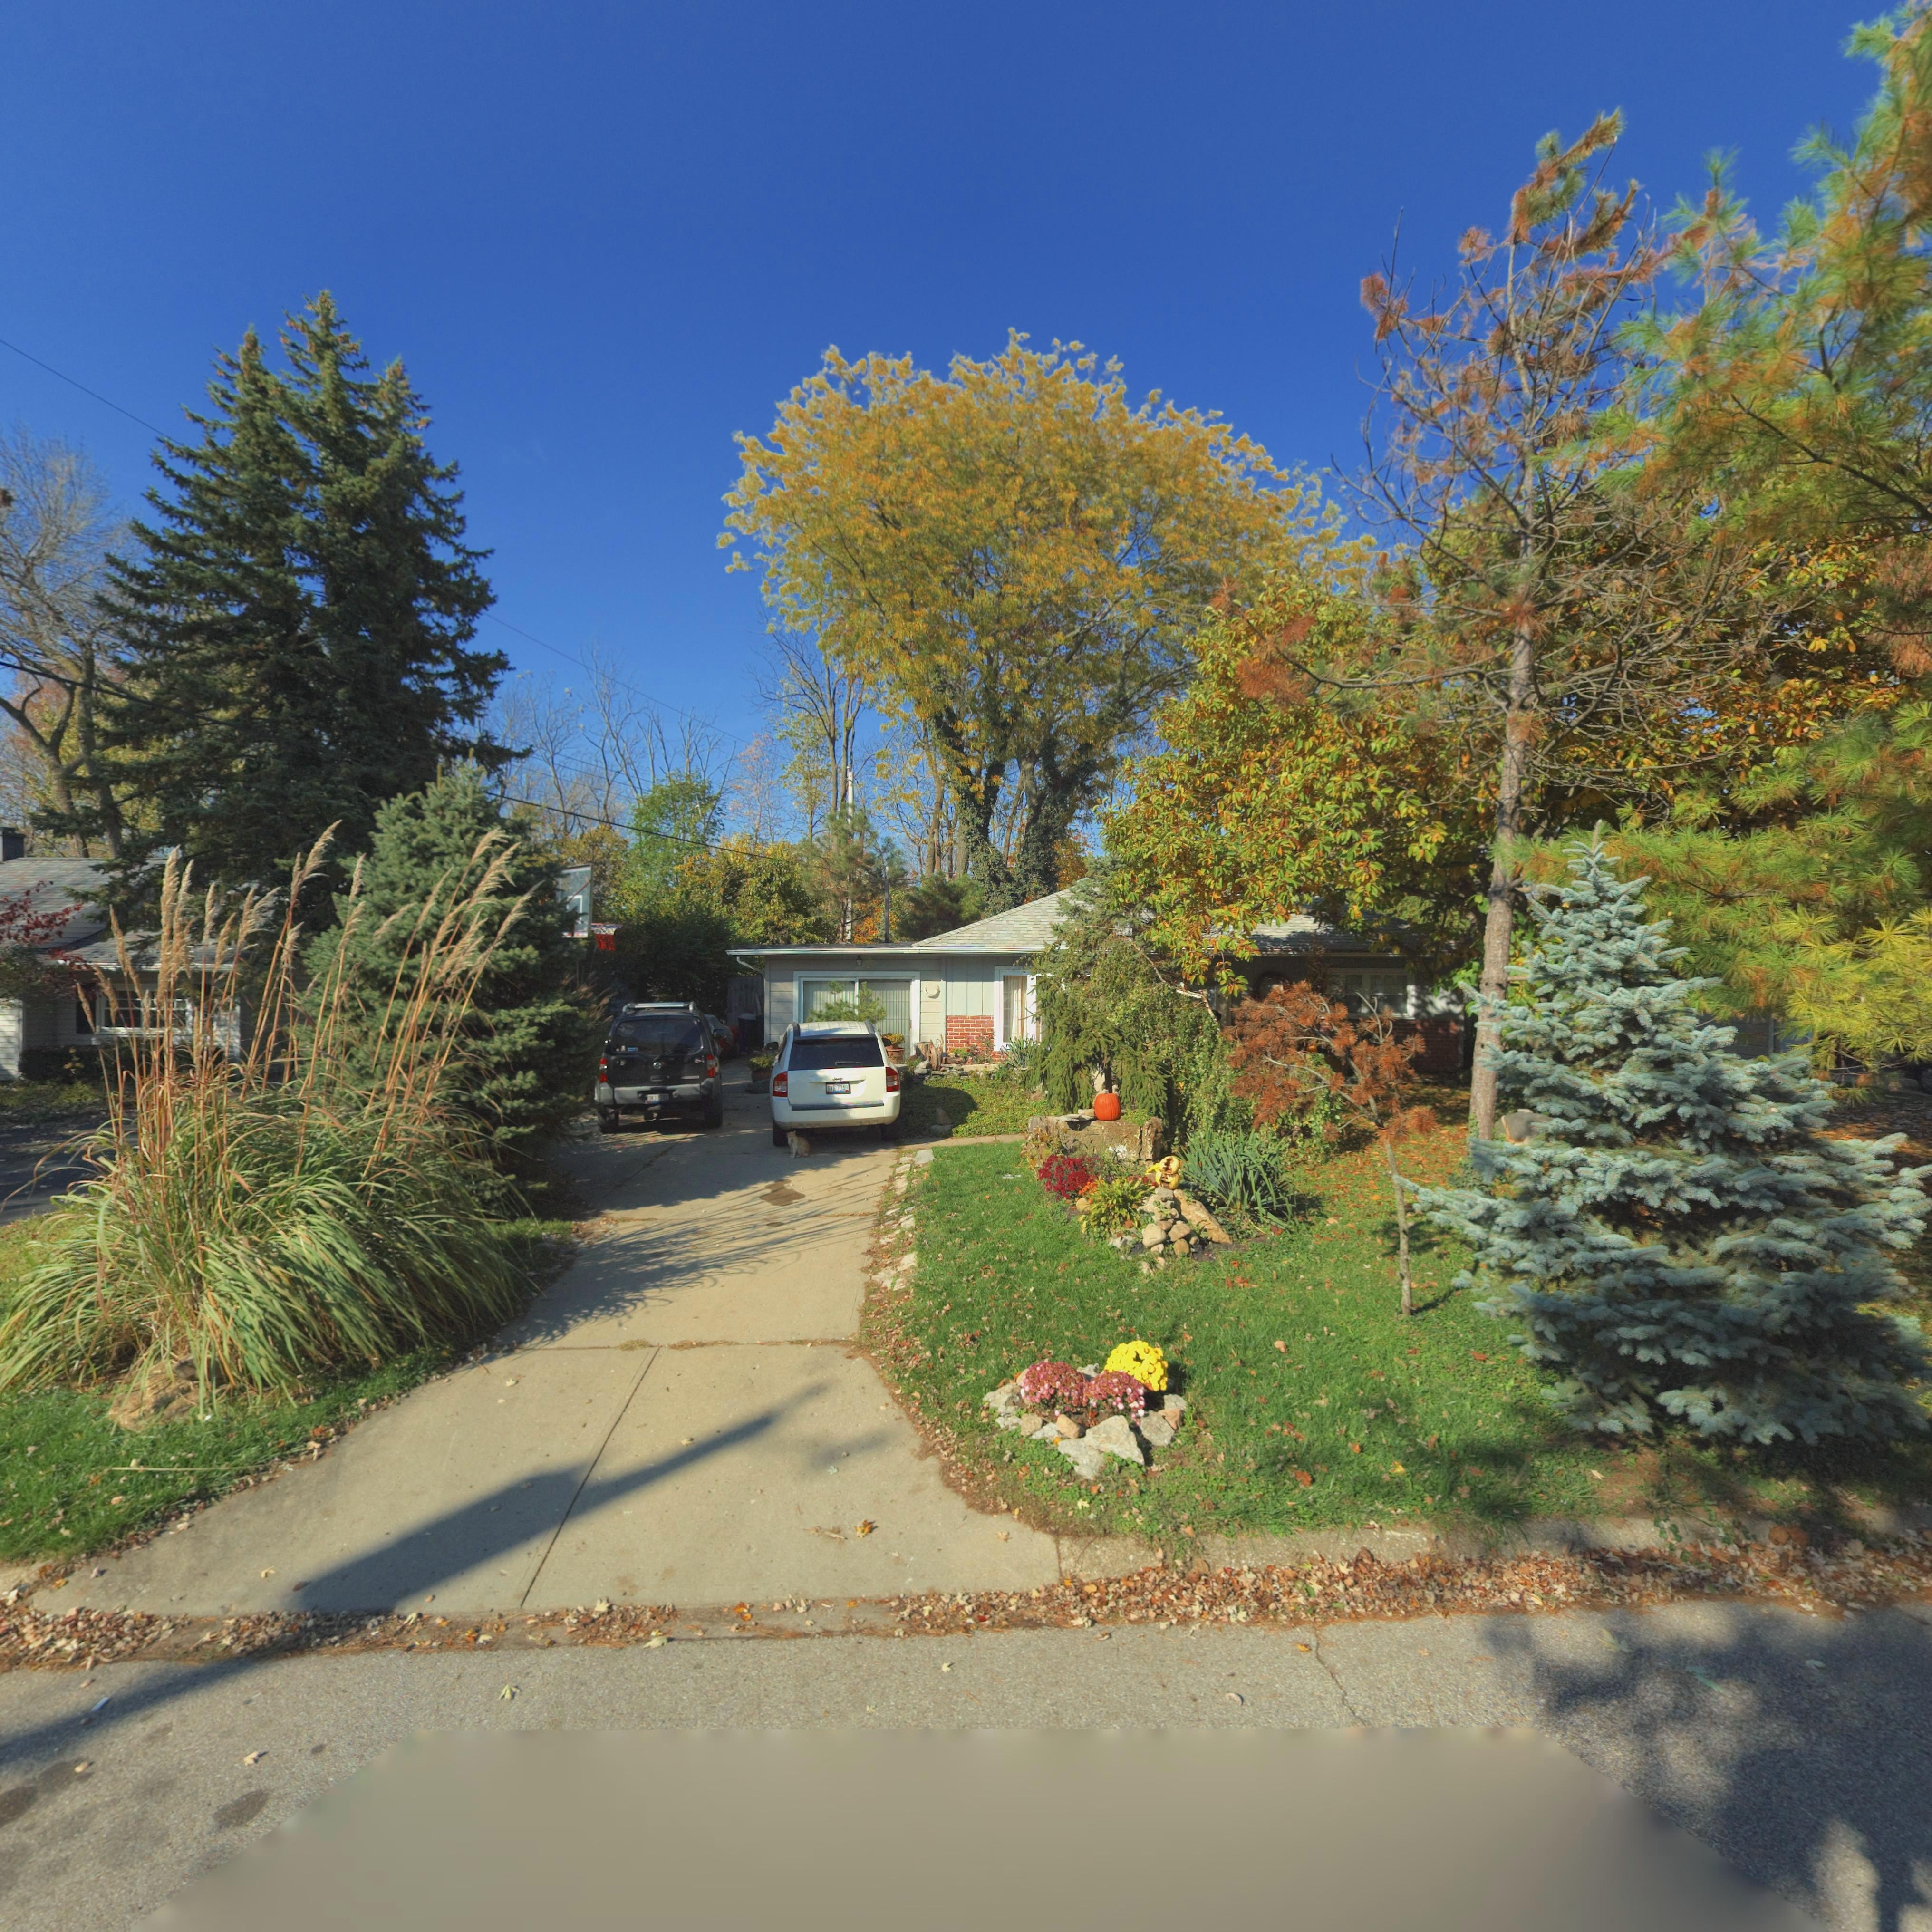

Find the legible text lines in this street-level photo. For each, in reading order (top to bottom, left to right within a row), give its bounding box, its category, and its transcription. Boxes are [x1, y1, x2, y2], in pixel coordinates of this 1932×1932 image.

[832, 1077, 843, 1081] None: Jeep
[827, 1085, 849, 1092] None: BYB 7319